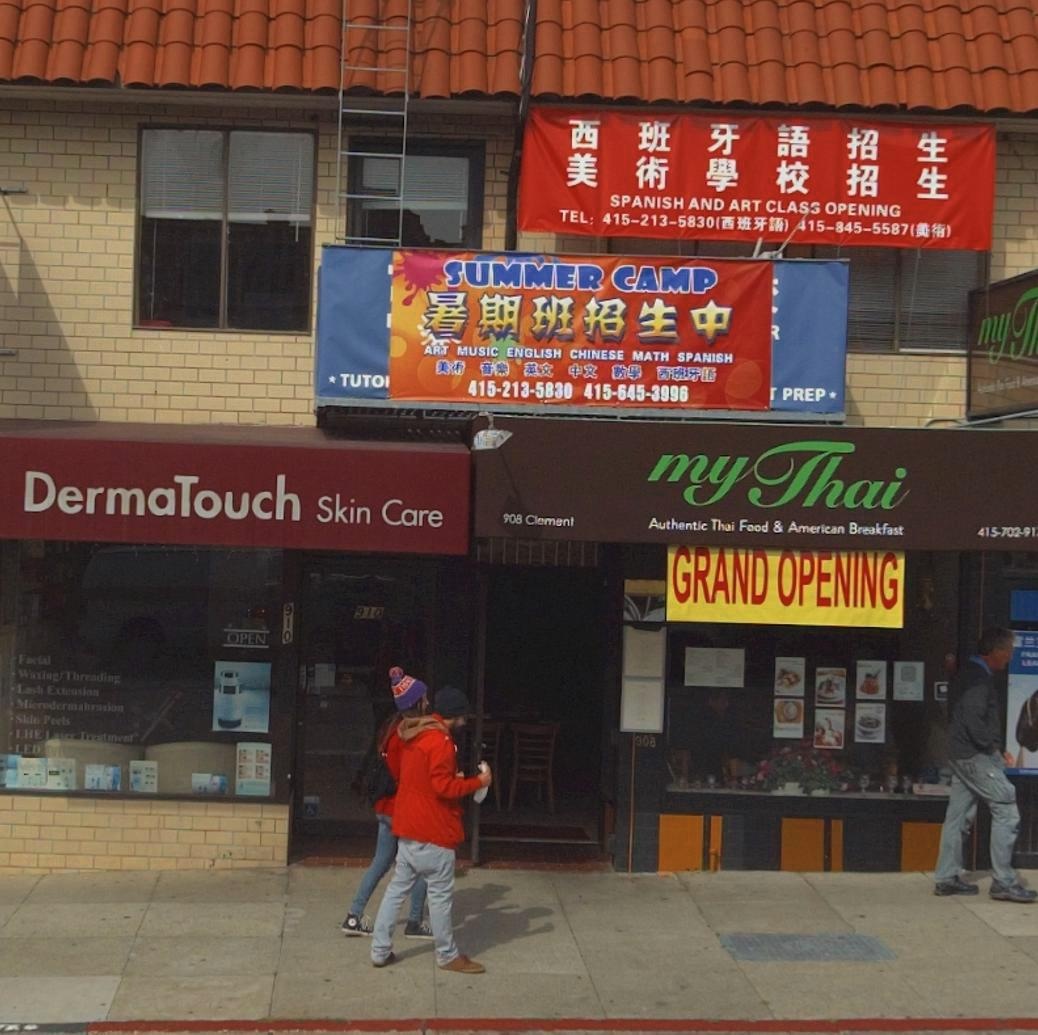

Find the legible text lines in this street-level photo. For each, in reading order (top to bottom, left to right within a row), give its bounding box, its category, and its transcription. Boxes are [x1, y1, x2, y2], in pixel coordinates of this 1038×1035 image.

[609, 194, 901, 218] None: SPANISH AND ART CLASS OPENING
[557, 209, 715, 229] None: Tel: 415-213-5830
[795, 218, 910, 237] None: *15-845-5587
[442, 260, 718, 293] None: SUMMER CAMP
[973, 306, 1017, 369] BusinessName: my
[423, 345, 734, 364] None: ART MUSIC ENGLISH CHINESE MATH SPANISH
[339, 372, 385, 388] None: TUTO
[466, 378, 689, 403] None: 415-213-5830 415-645-3996
[781, 387, 827, 403] None: PREP
[645, 440, 911, 511] BusinessName: myThai
[21, 469, 445, 529] BusinessName: DermaTouch Skin Care
[502, 512, 523, 525] StreetNumber: 908
[525, 514, 575, 527] StreetName: Clement
[646, 516, 905, 537] None: Authentic Thai Food & AMerican Breakfast
[975, 526, 1036, 538] None: 415-702-91
[672, 544, 898, 611] None: GRAND OPENING
[351, 605, 385, 621] StreetNumber: 910
[282, 601, 294, 645] StreetNumber: 910
[226, 632, 266, 645] None: OPEN
[18, 653, 52, 666] None: F**ial
[16, 668, 122, 686] None: Wa*ing/Thr**ding
[17, 683, 100, 698] None: Lash Ext**sion
[13, 696, 128, 715] None: Microdermabrasion
[12, 712, 74, 728] None: Skin Peels
[14, 743, 42, 755] None: LED
[13, 725, 138, 746] None: LHE **** Tr*atment
[635, 735, 657, 750] StreetNumber: 908